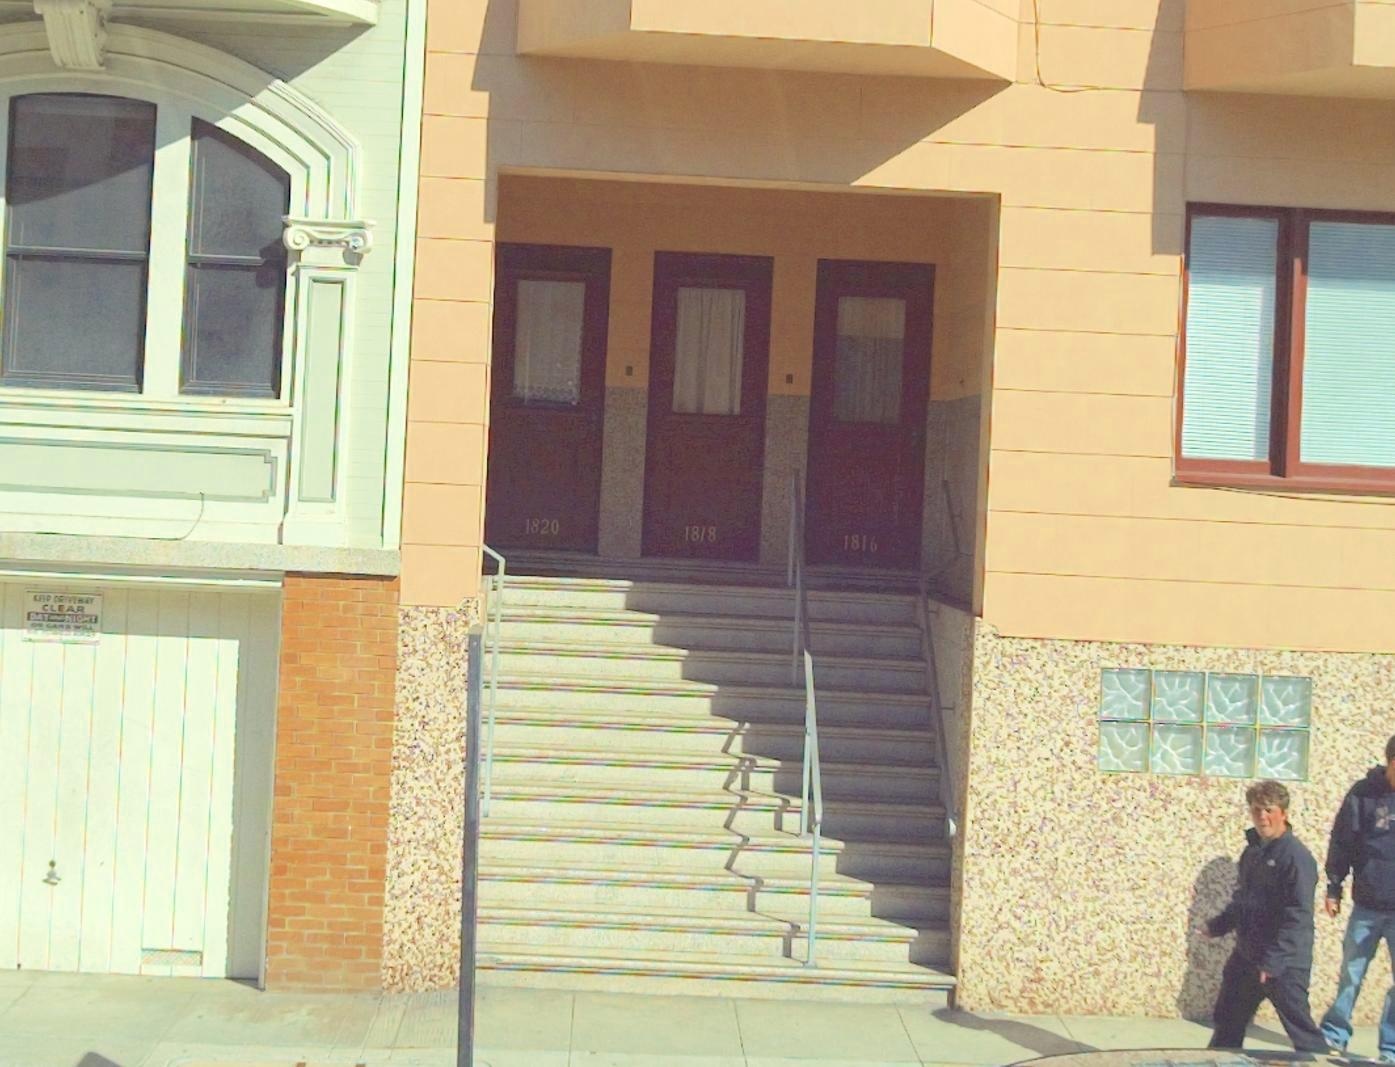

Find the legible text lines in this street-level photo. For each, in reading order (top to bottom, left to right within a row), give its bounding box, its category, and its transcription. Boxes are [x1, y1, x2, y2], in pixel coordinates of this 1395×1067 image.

[525, 516, 561, 536] StreetNumber: 1820
[683, 522, 718, 544] StreetNumber: 1818
[840, 531, 880, 554] StreetNumber: 1816
[29, 611, 51, 622] None: DAY
[39, 603, 87, 616] None: CLEAR
[64, 613, 97, 623] None: NIGHT